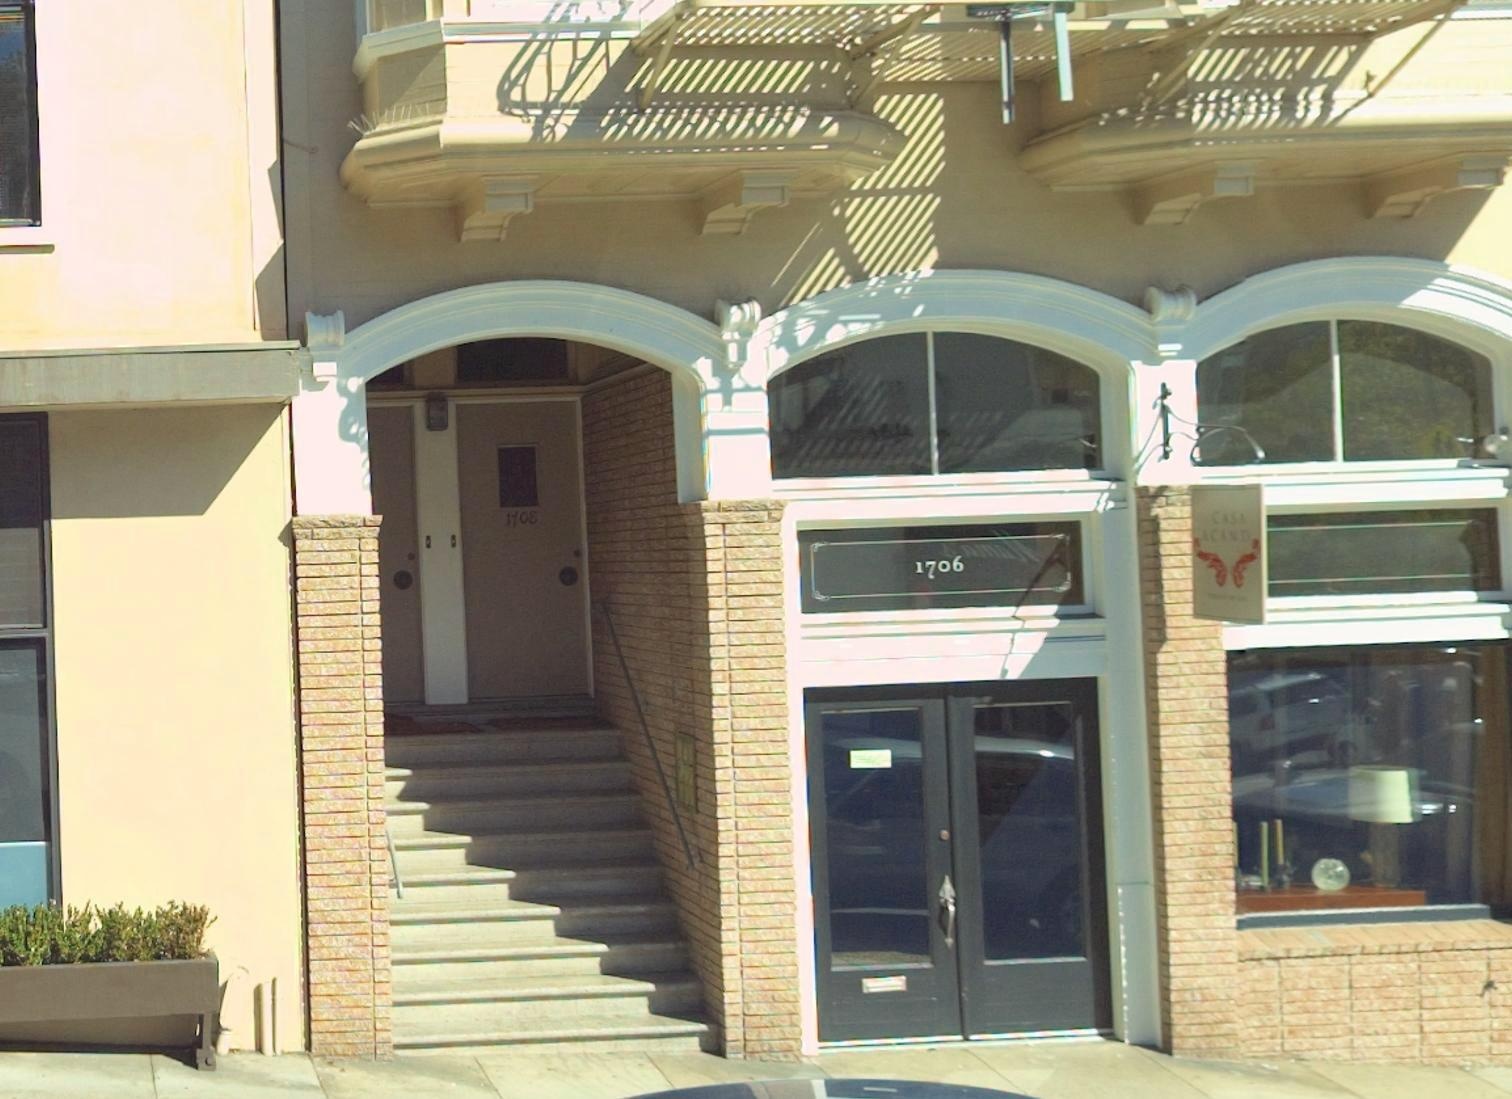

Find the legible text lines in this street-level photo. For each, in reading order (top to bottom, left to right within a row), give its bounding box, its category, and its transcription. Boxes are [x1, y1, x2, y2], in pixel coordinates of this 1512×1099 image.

[505, 509, 540, 529] StreetNumber: 1708
[1209, 508, 1249, 527] BusinessName: CASA
[1198, 527, 1255, 545] BusinessName: ACAND
[913, 553, 966, 580] StreetNumber: 1706